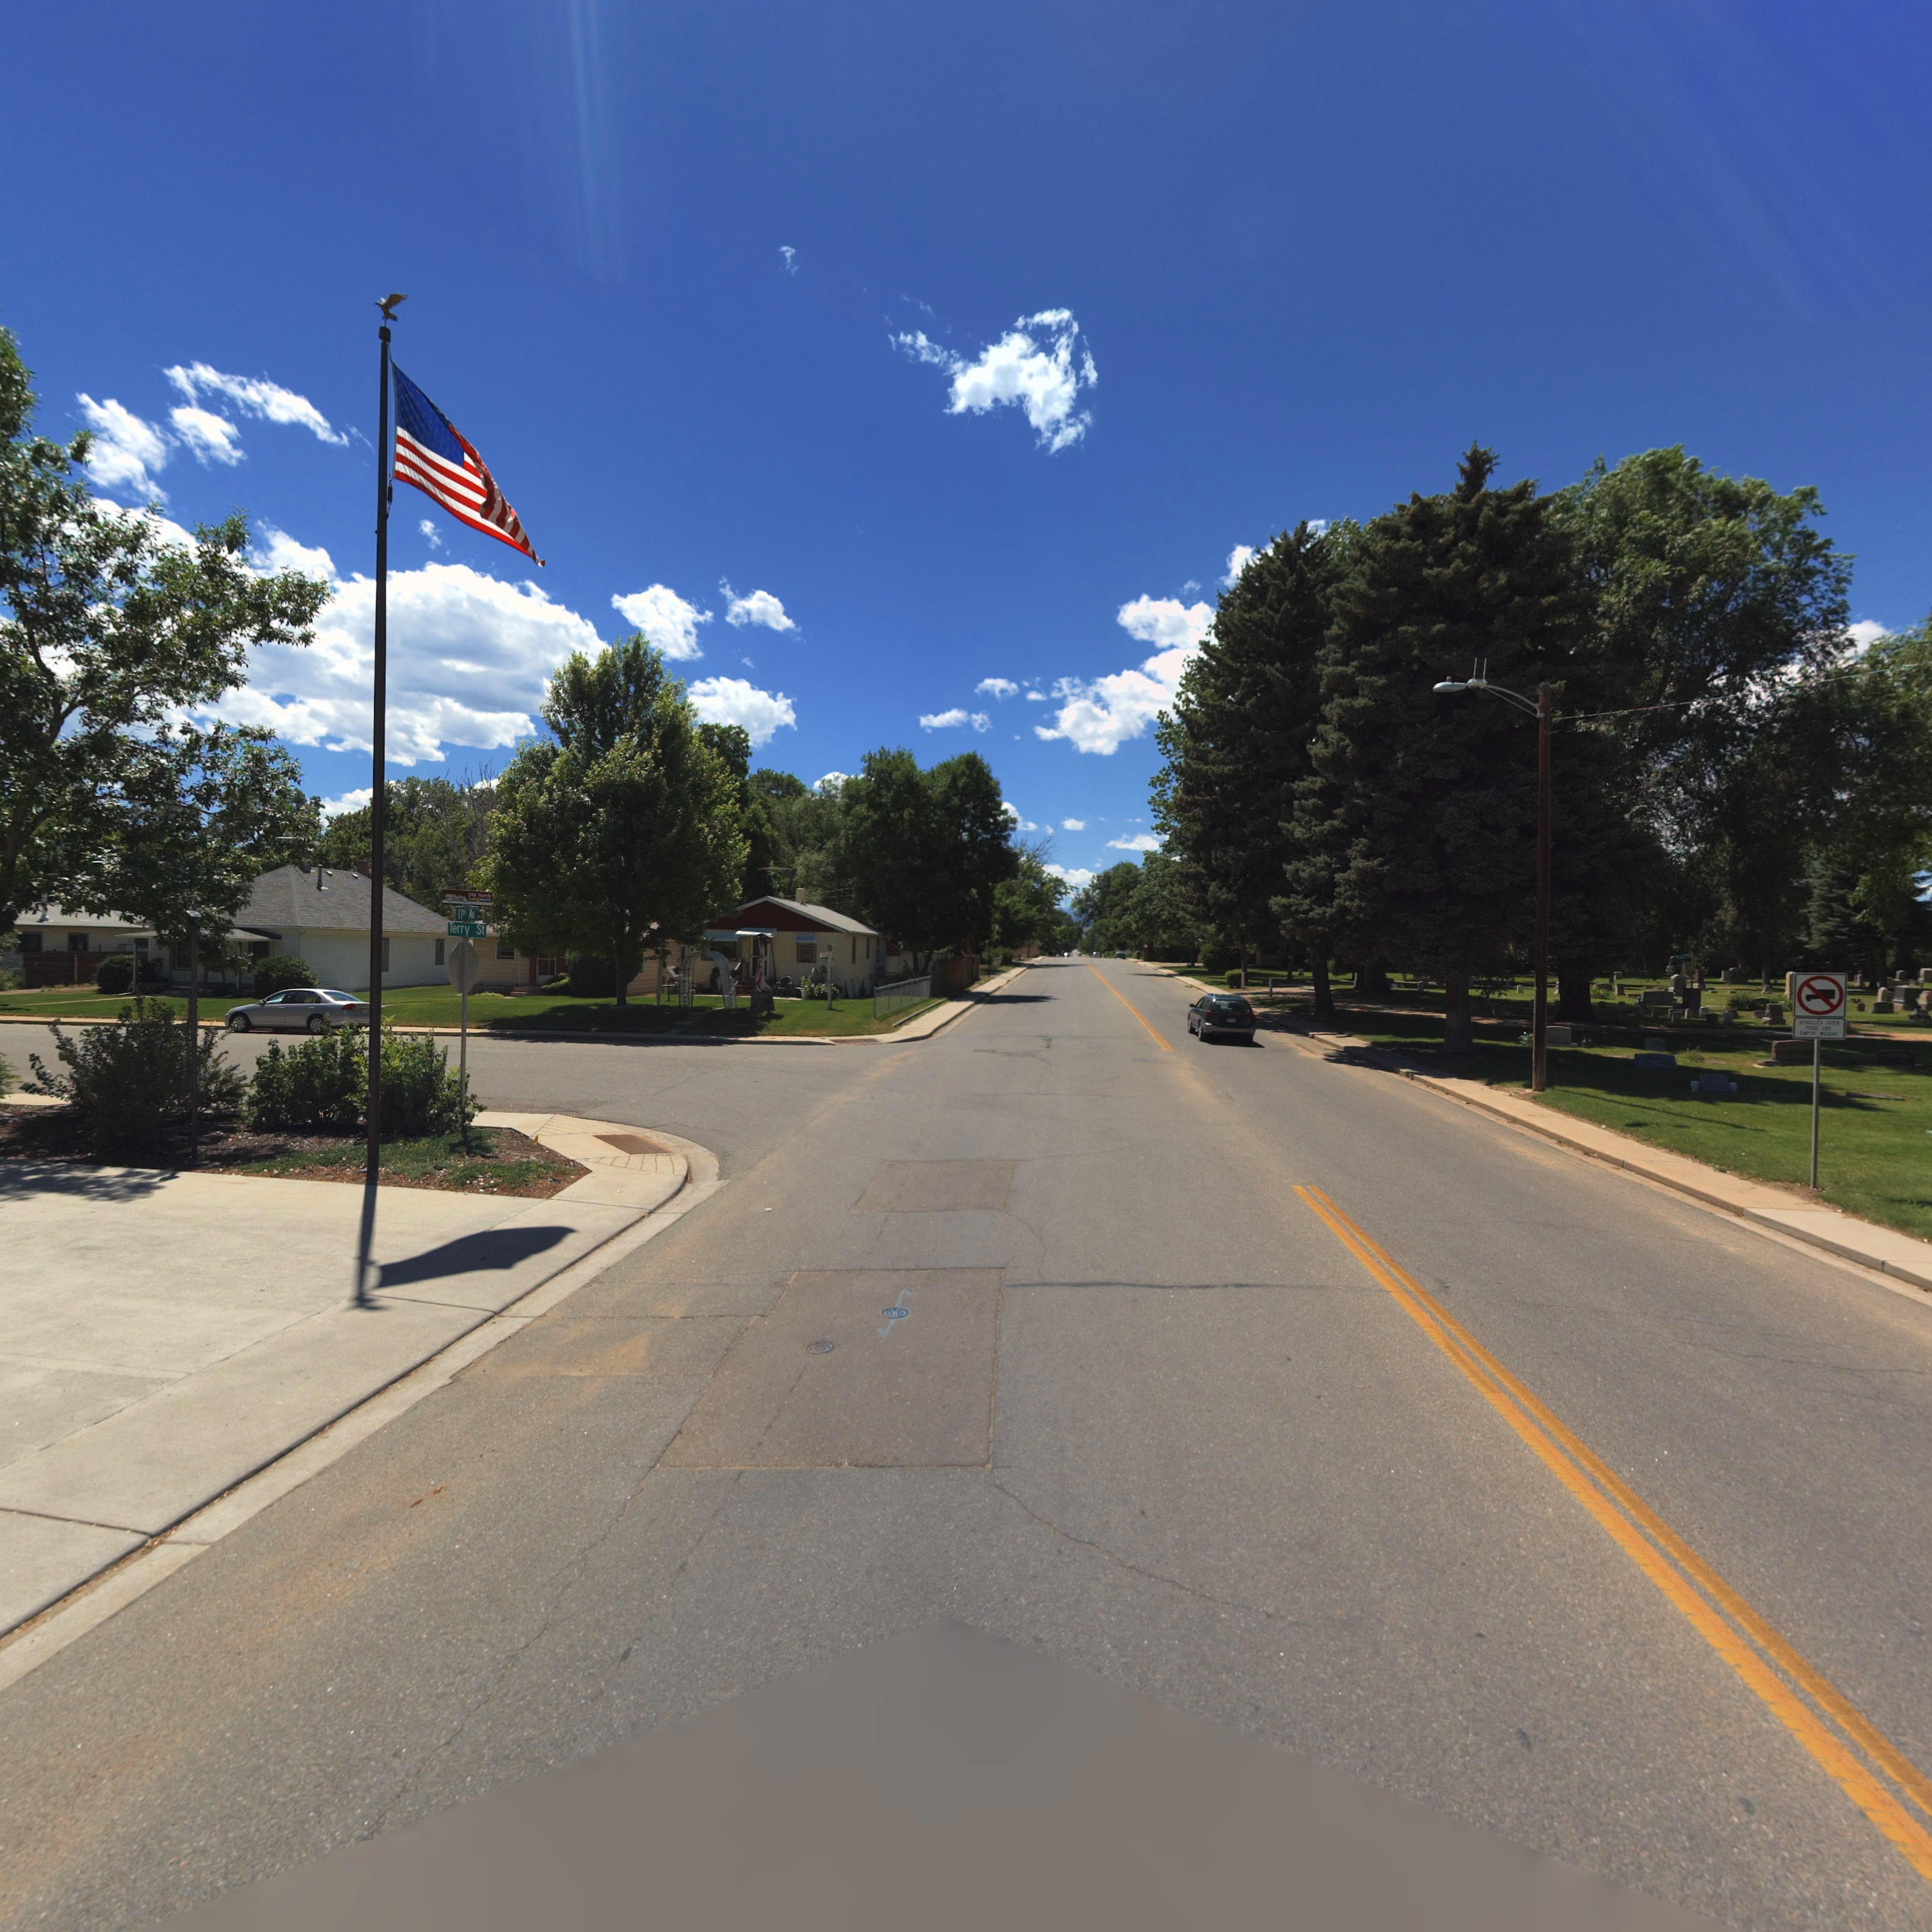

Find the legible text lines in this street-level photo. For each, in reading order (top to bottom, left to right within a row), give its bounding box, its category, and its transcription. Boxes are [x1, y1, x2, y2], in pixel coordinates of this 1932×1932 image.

[458, 908, 475, 920] StreetName: 11th Av
[448, 922, 485, 936] StreetName: Terry St